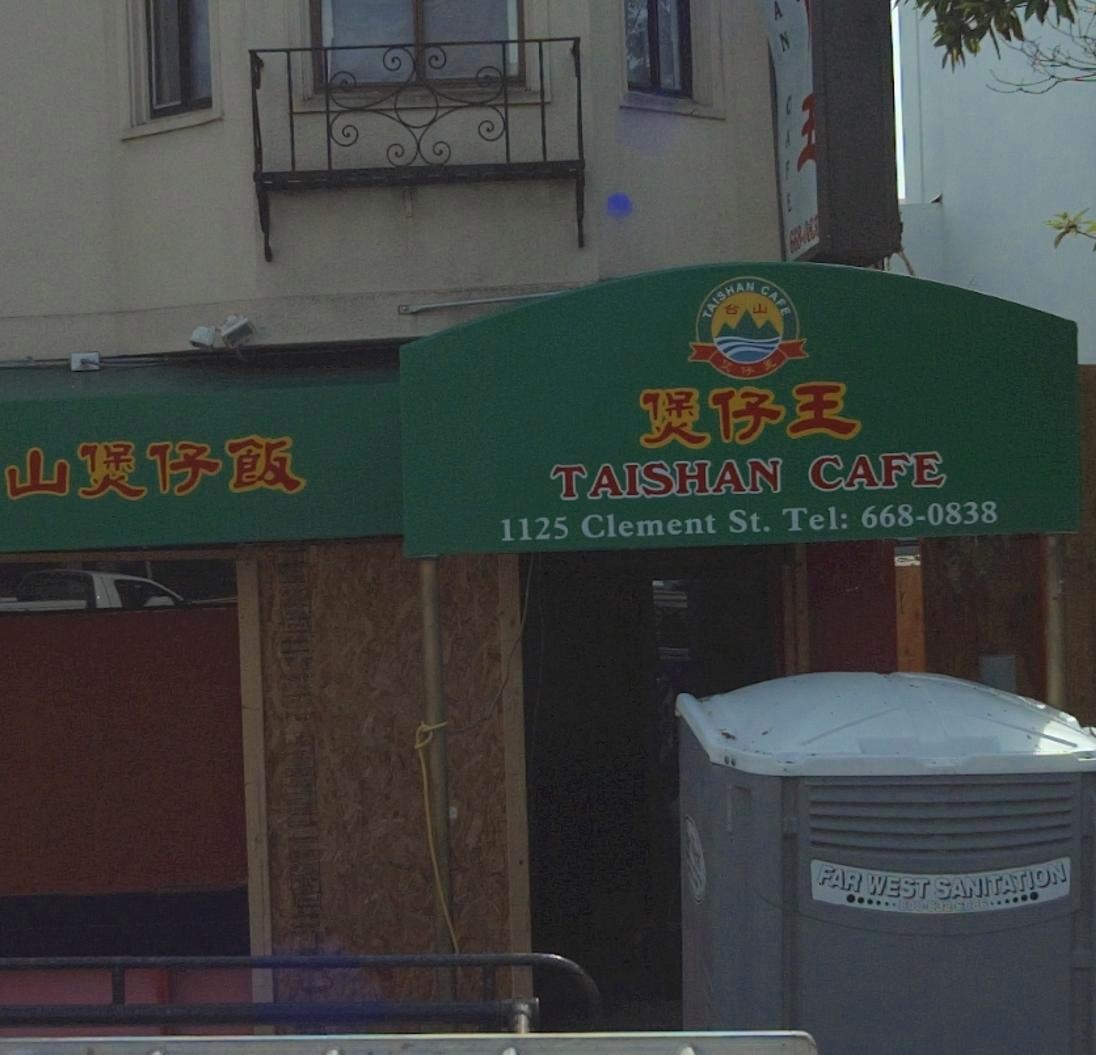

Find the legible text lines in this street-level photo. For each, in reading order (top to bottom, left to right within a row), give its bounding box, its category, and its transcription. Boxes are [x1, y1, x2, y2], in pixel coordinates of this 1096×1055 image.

[701, 281, 792, 319] None: TAISHAN CAFE
[548, 451, 949, 501] BusinessName: TAISHAN CAFE
[500, 514, 569, 543] StreetNumber: 1125
[580, 508, 772, 539] StreetName: Clement St.
[780, 500, 998, 532] None: Tel: 668-0838
[815, 860, 1067, 900] None: FAR WEST SANITATION
[897, 898, 989, 913] None: 800*632**886